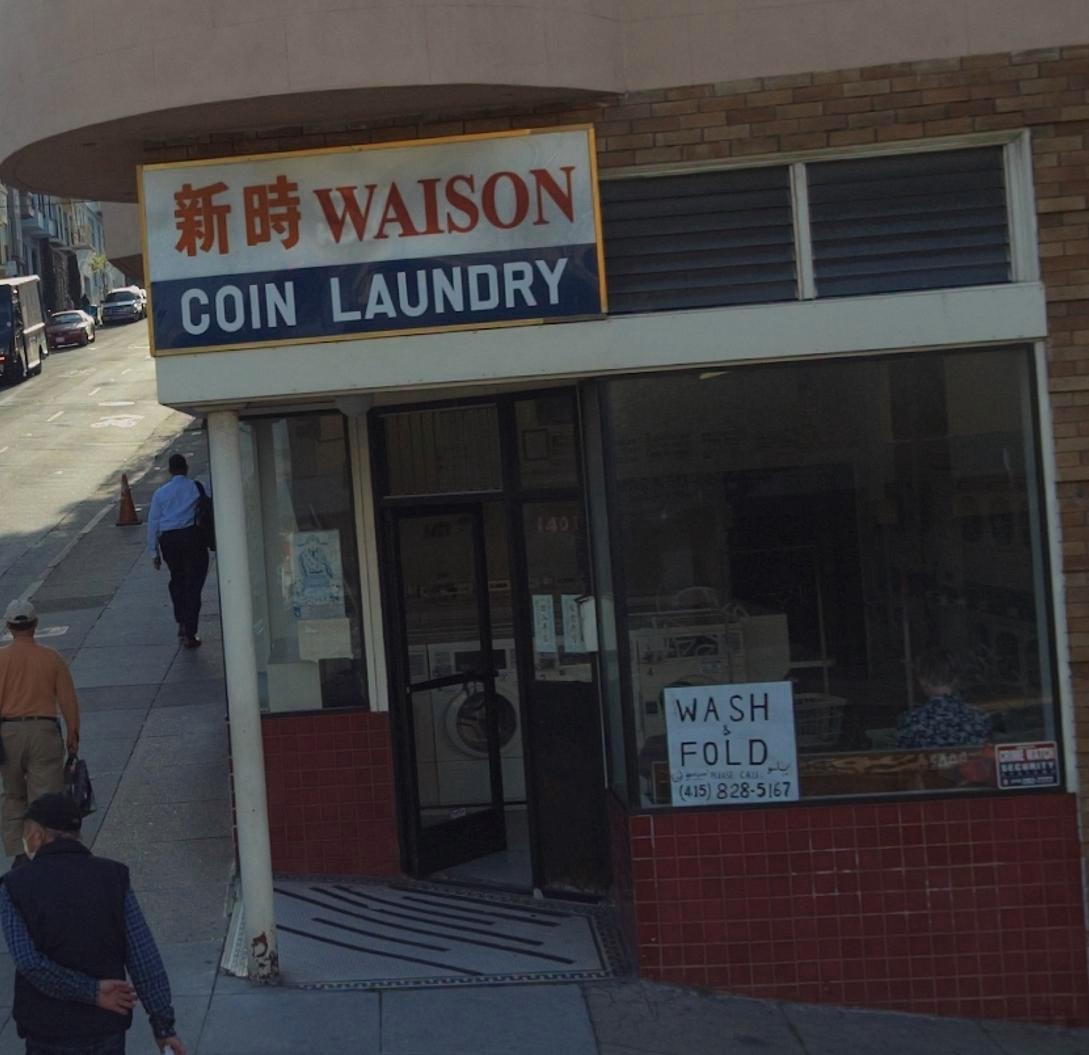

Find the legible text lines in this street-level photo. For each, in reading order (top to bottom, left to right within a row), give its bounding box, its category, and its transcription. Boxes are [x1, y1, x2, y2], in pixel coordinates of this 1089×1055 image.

[309, 162, 576, 247] BusinessName: WAISON
[177, 251, 572, 338] BusinessName: COIN LAUNDRY
[534, 513, 581, 535] StreetNumber: 1401
[673, 691, 770, 725] None: WASH
[679, 737, 769, 768] None: FOLD
[739, 769, 761, 780] None: CALL
[676, 780, 792, 804] None: (415)828-5167